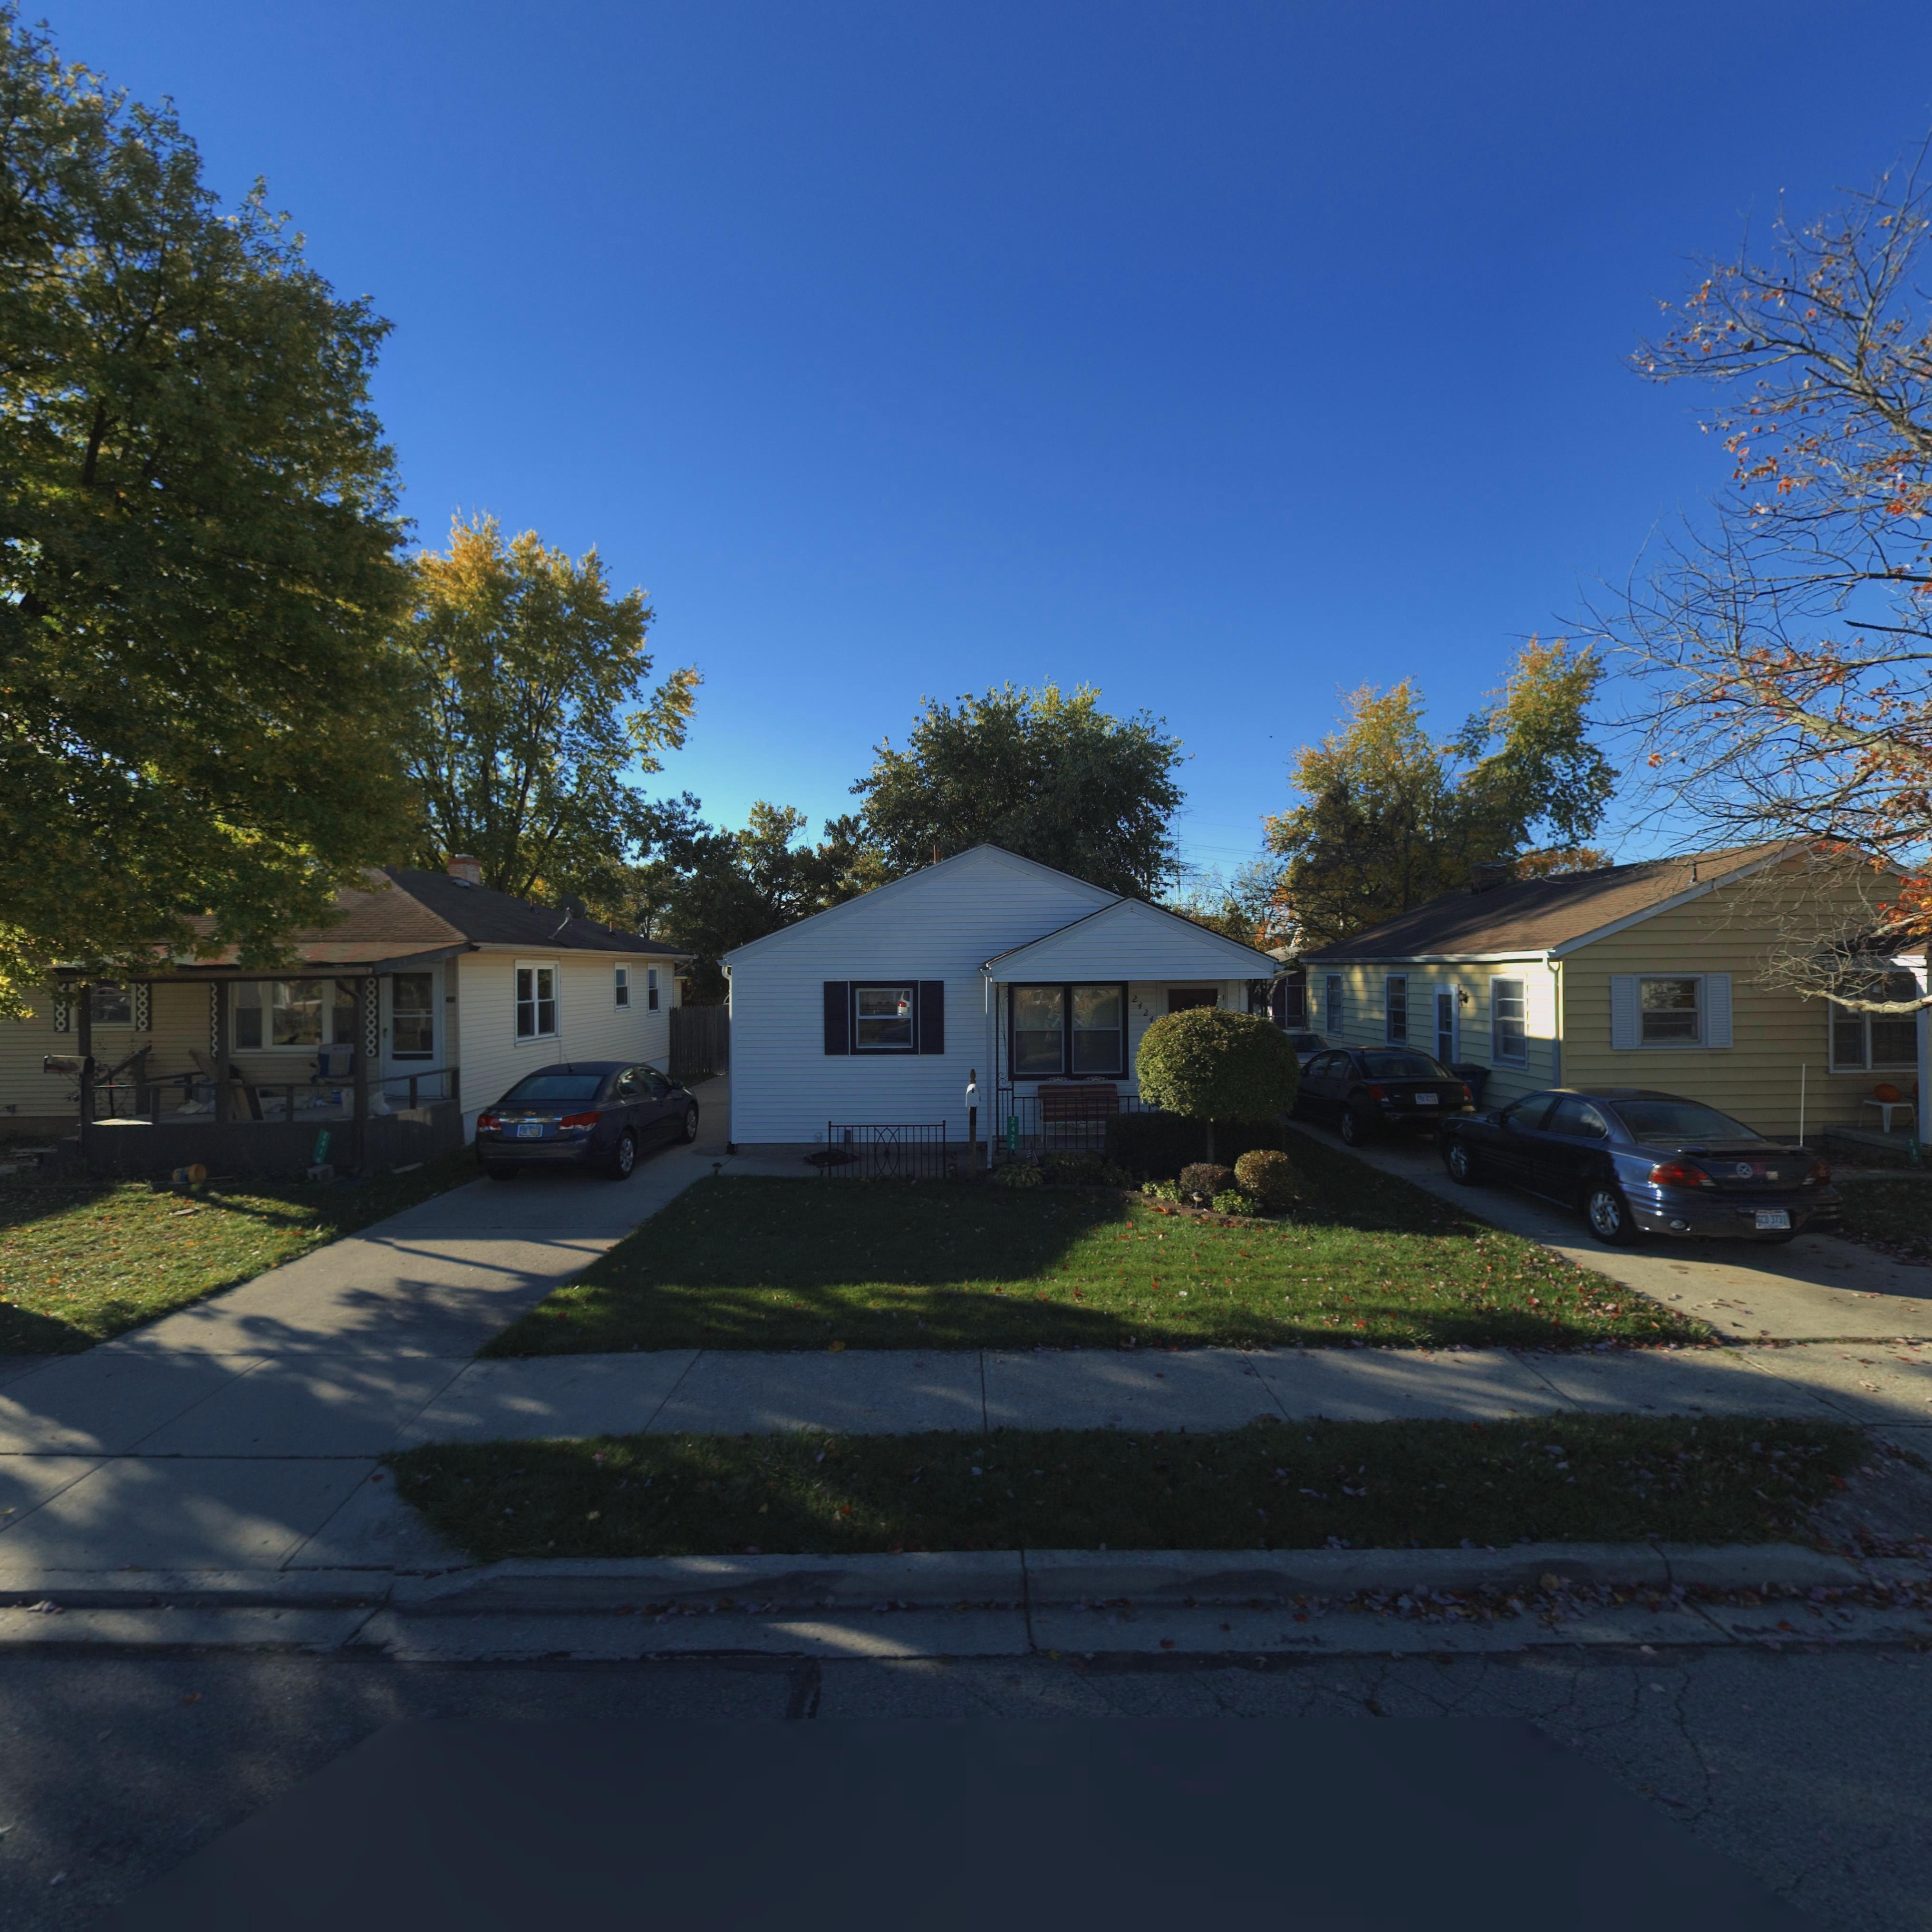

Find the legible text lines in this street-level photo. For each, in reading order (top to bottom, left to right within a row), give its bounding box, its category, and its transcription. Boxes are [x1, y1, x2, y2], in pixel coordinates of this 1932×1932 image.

[1132, 995, 1155, 1024] StreetNumber: 2424
[314, 1130, 330, 1165] StreetNumber: 2416
[1009, 1116, 1016, 1150] StreetNumber: 2424